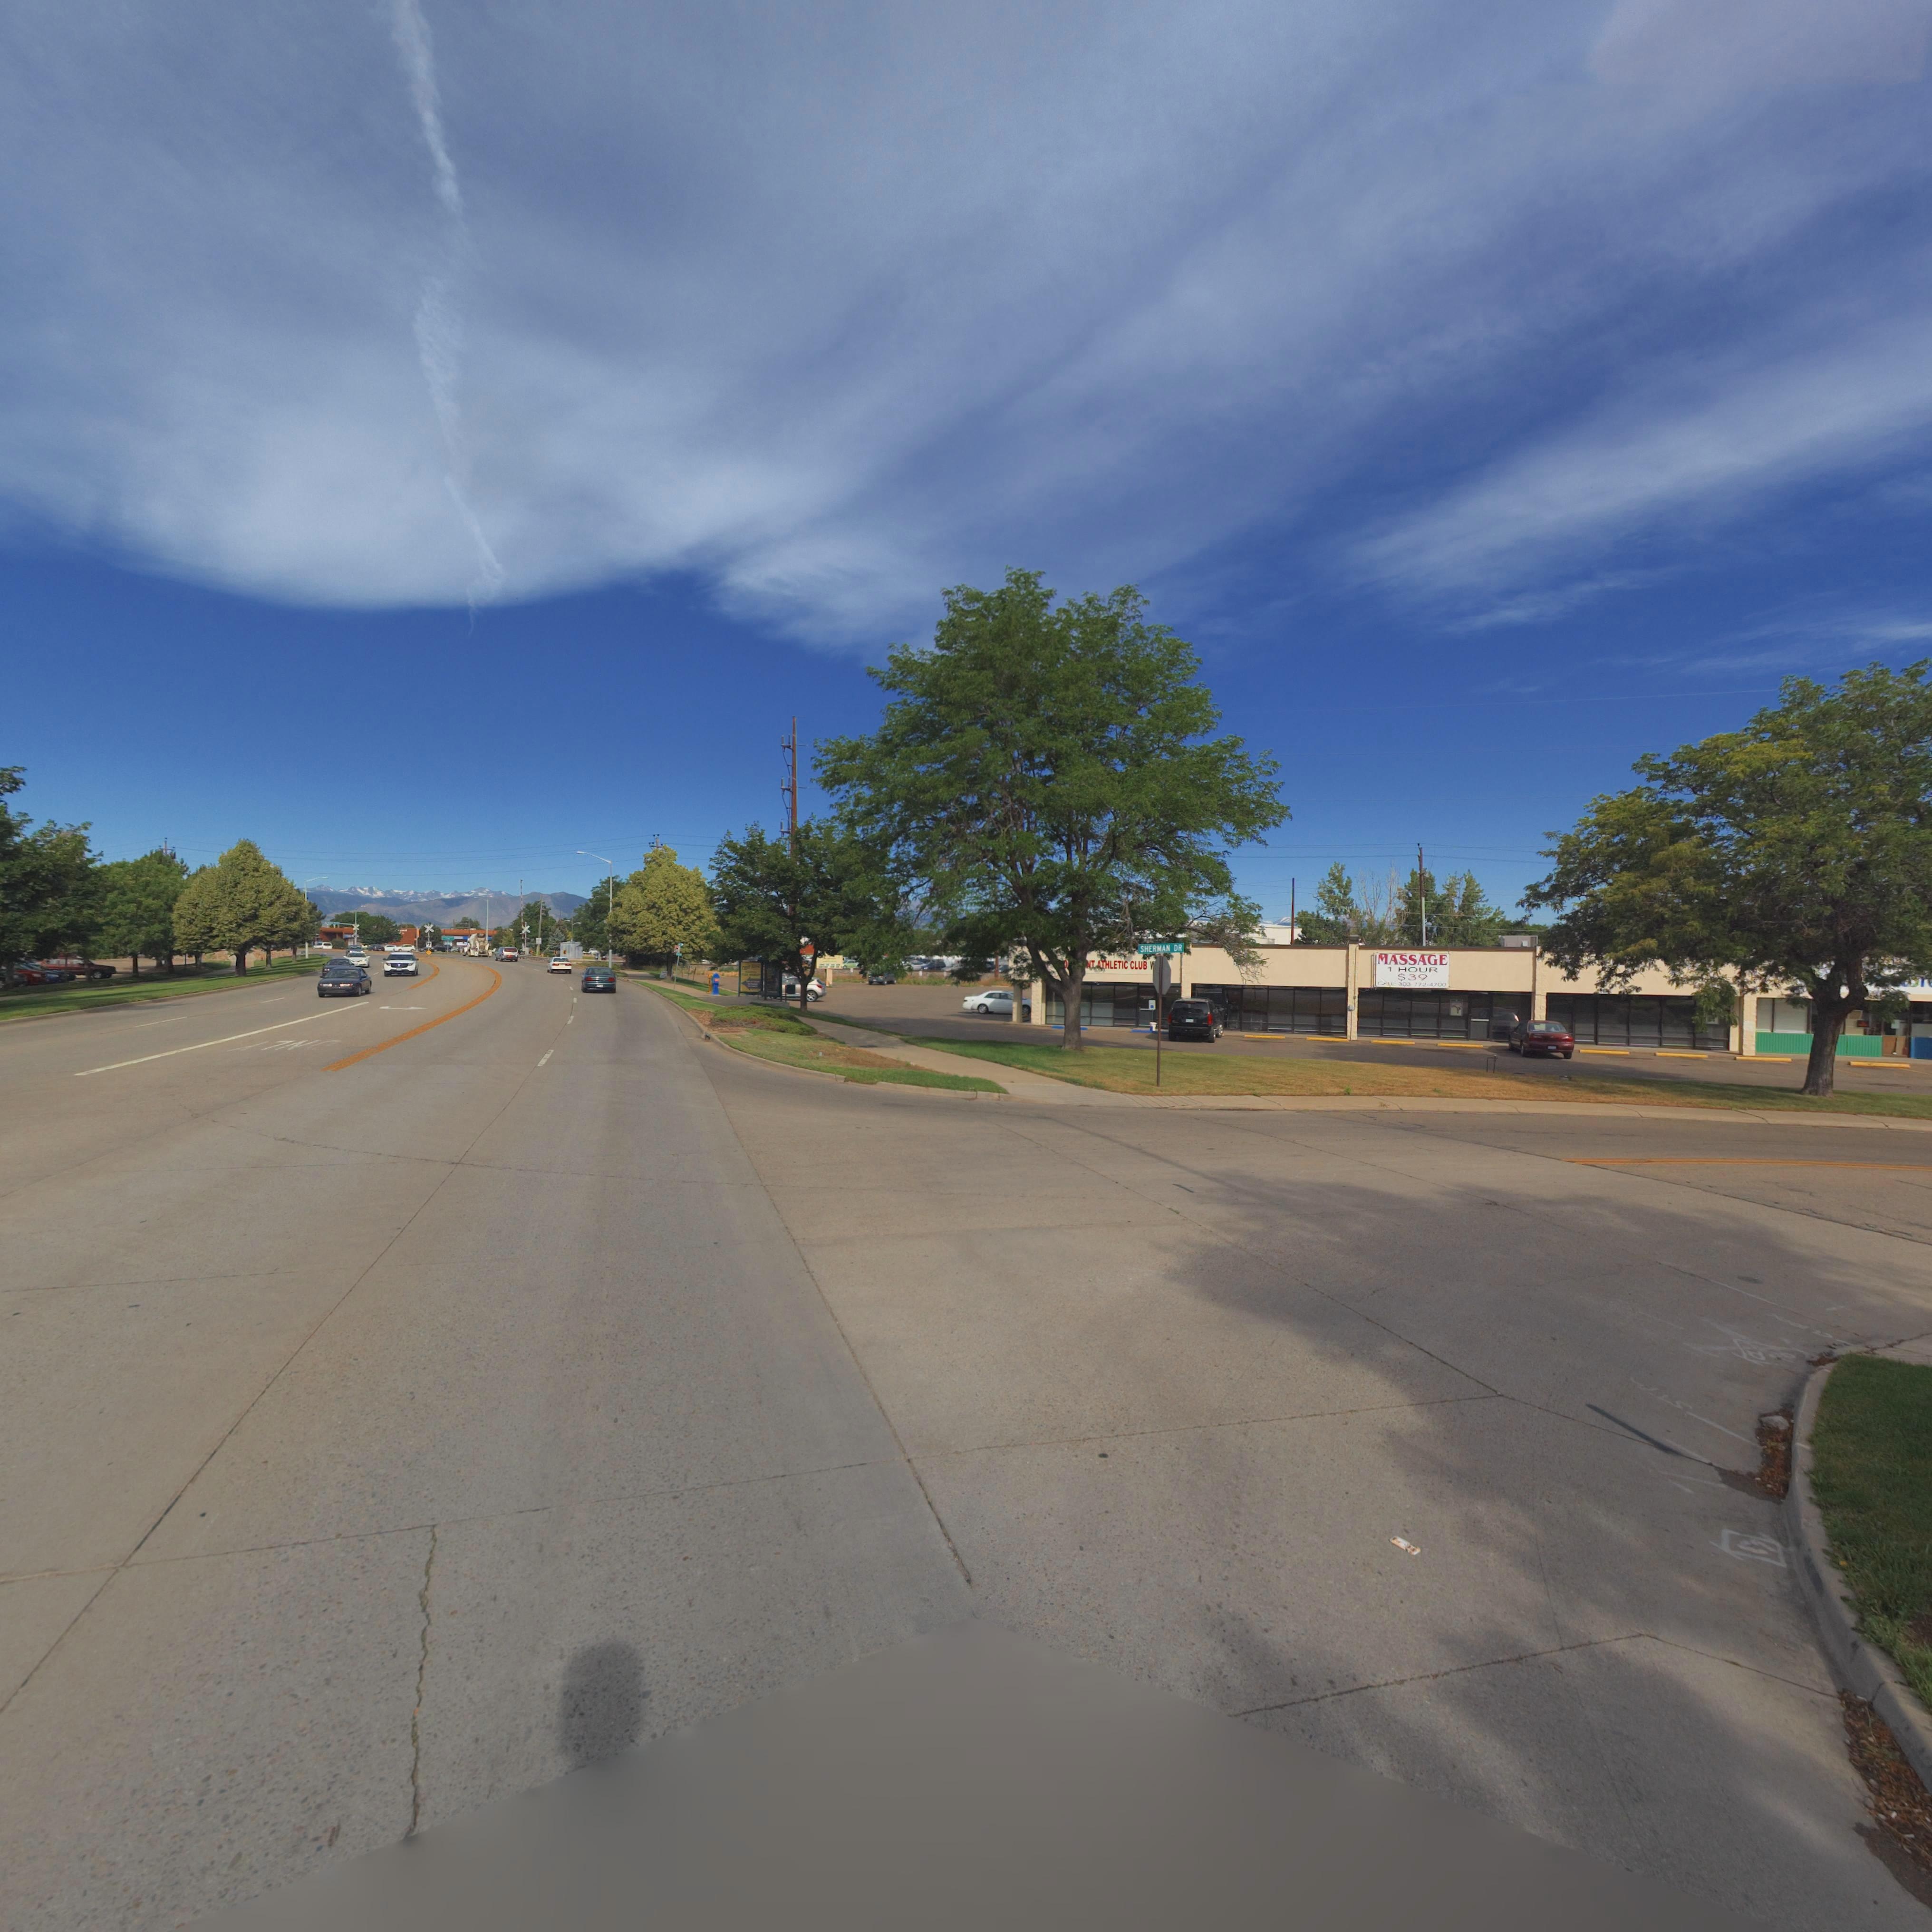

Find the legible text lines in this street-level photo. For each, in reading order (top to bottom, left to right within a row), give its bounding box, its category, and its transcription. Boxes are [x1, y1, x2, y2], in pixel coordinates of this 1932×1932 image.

[1140, 944, 1183, 953] StreetName: SHERMAN DR
[1086, 959, 1147, 970] BusinessName: NT ATHLETIC CLUB